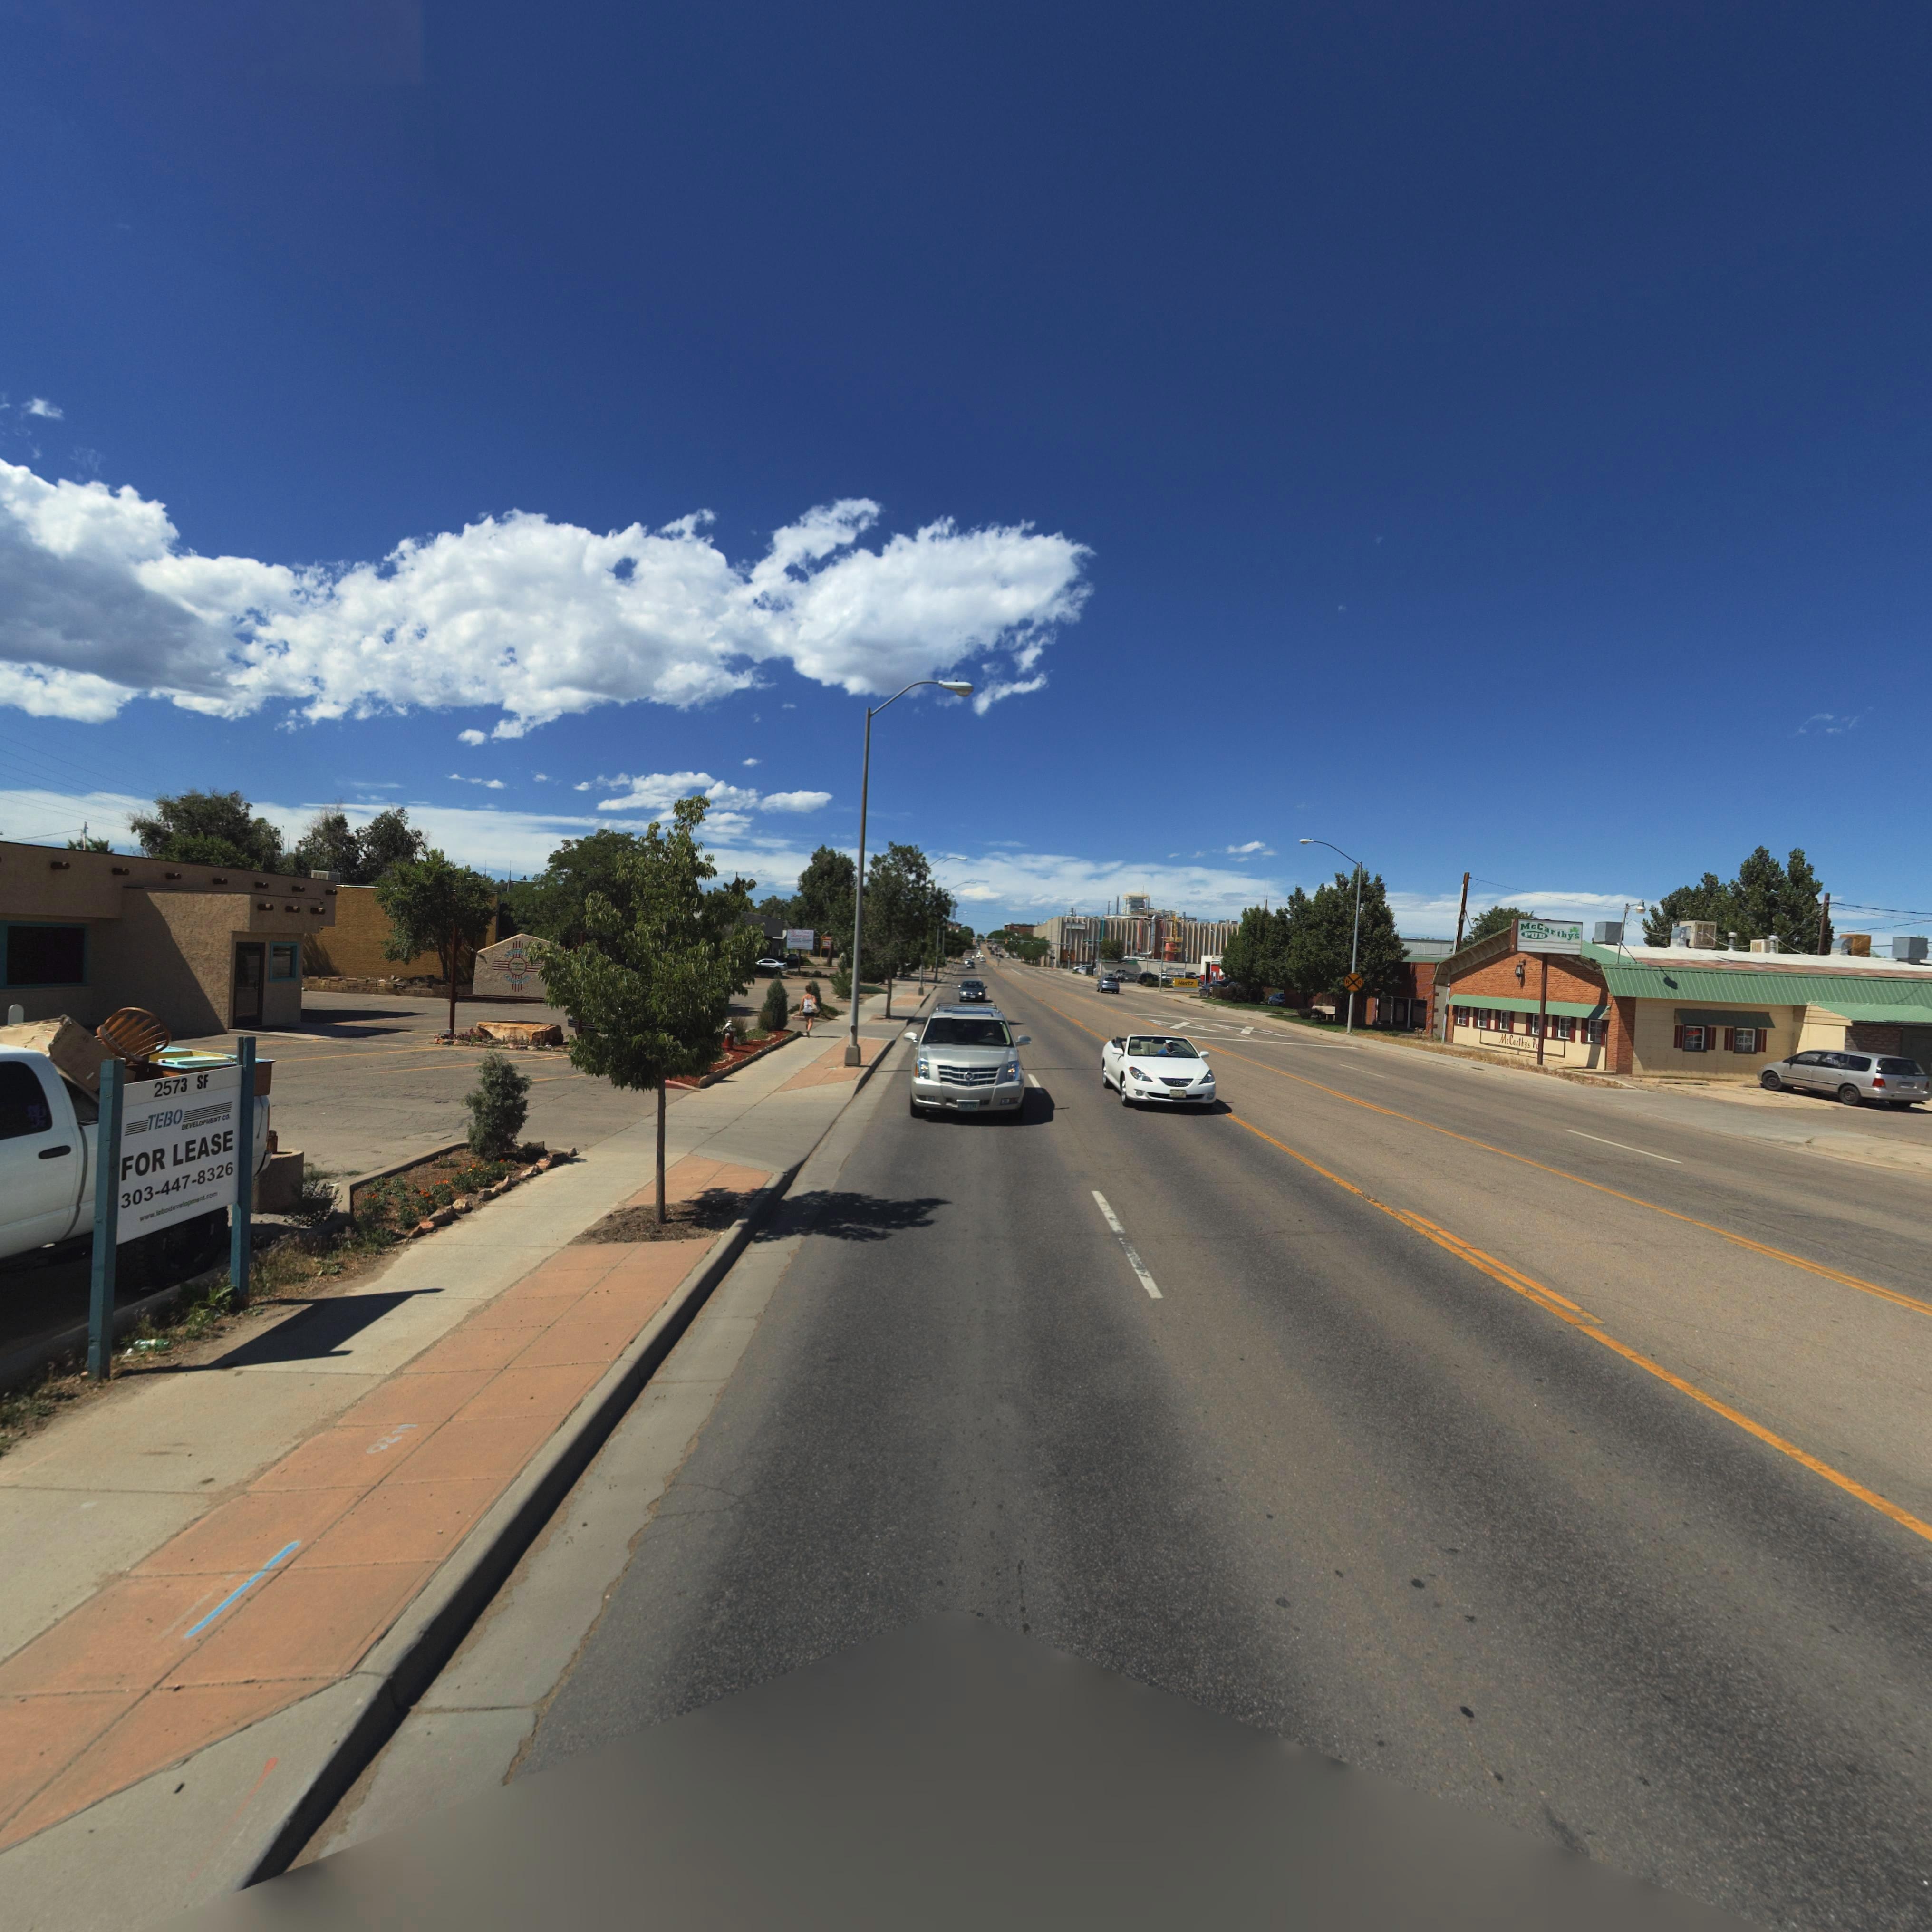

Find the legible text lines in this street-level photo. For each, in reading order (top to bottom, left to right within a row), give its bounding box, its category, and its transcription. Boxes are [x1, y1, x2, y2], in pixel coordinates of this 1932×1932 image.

[1524, 932, 1546, 938] BusinessName: PUB
[1519, 922, 1580, 941] BusinessName: McCarthys
[503, 948, 522, 958] BusinessName: S**TA
[503, 973, 531, 984] BusinessName: COMPA**
[1178, 980, 1194, 985] BusinessName: Hertz
[1498, 1033, 1537, 1049] BusinessName: McC*rthy's P